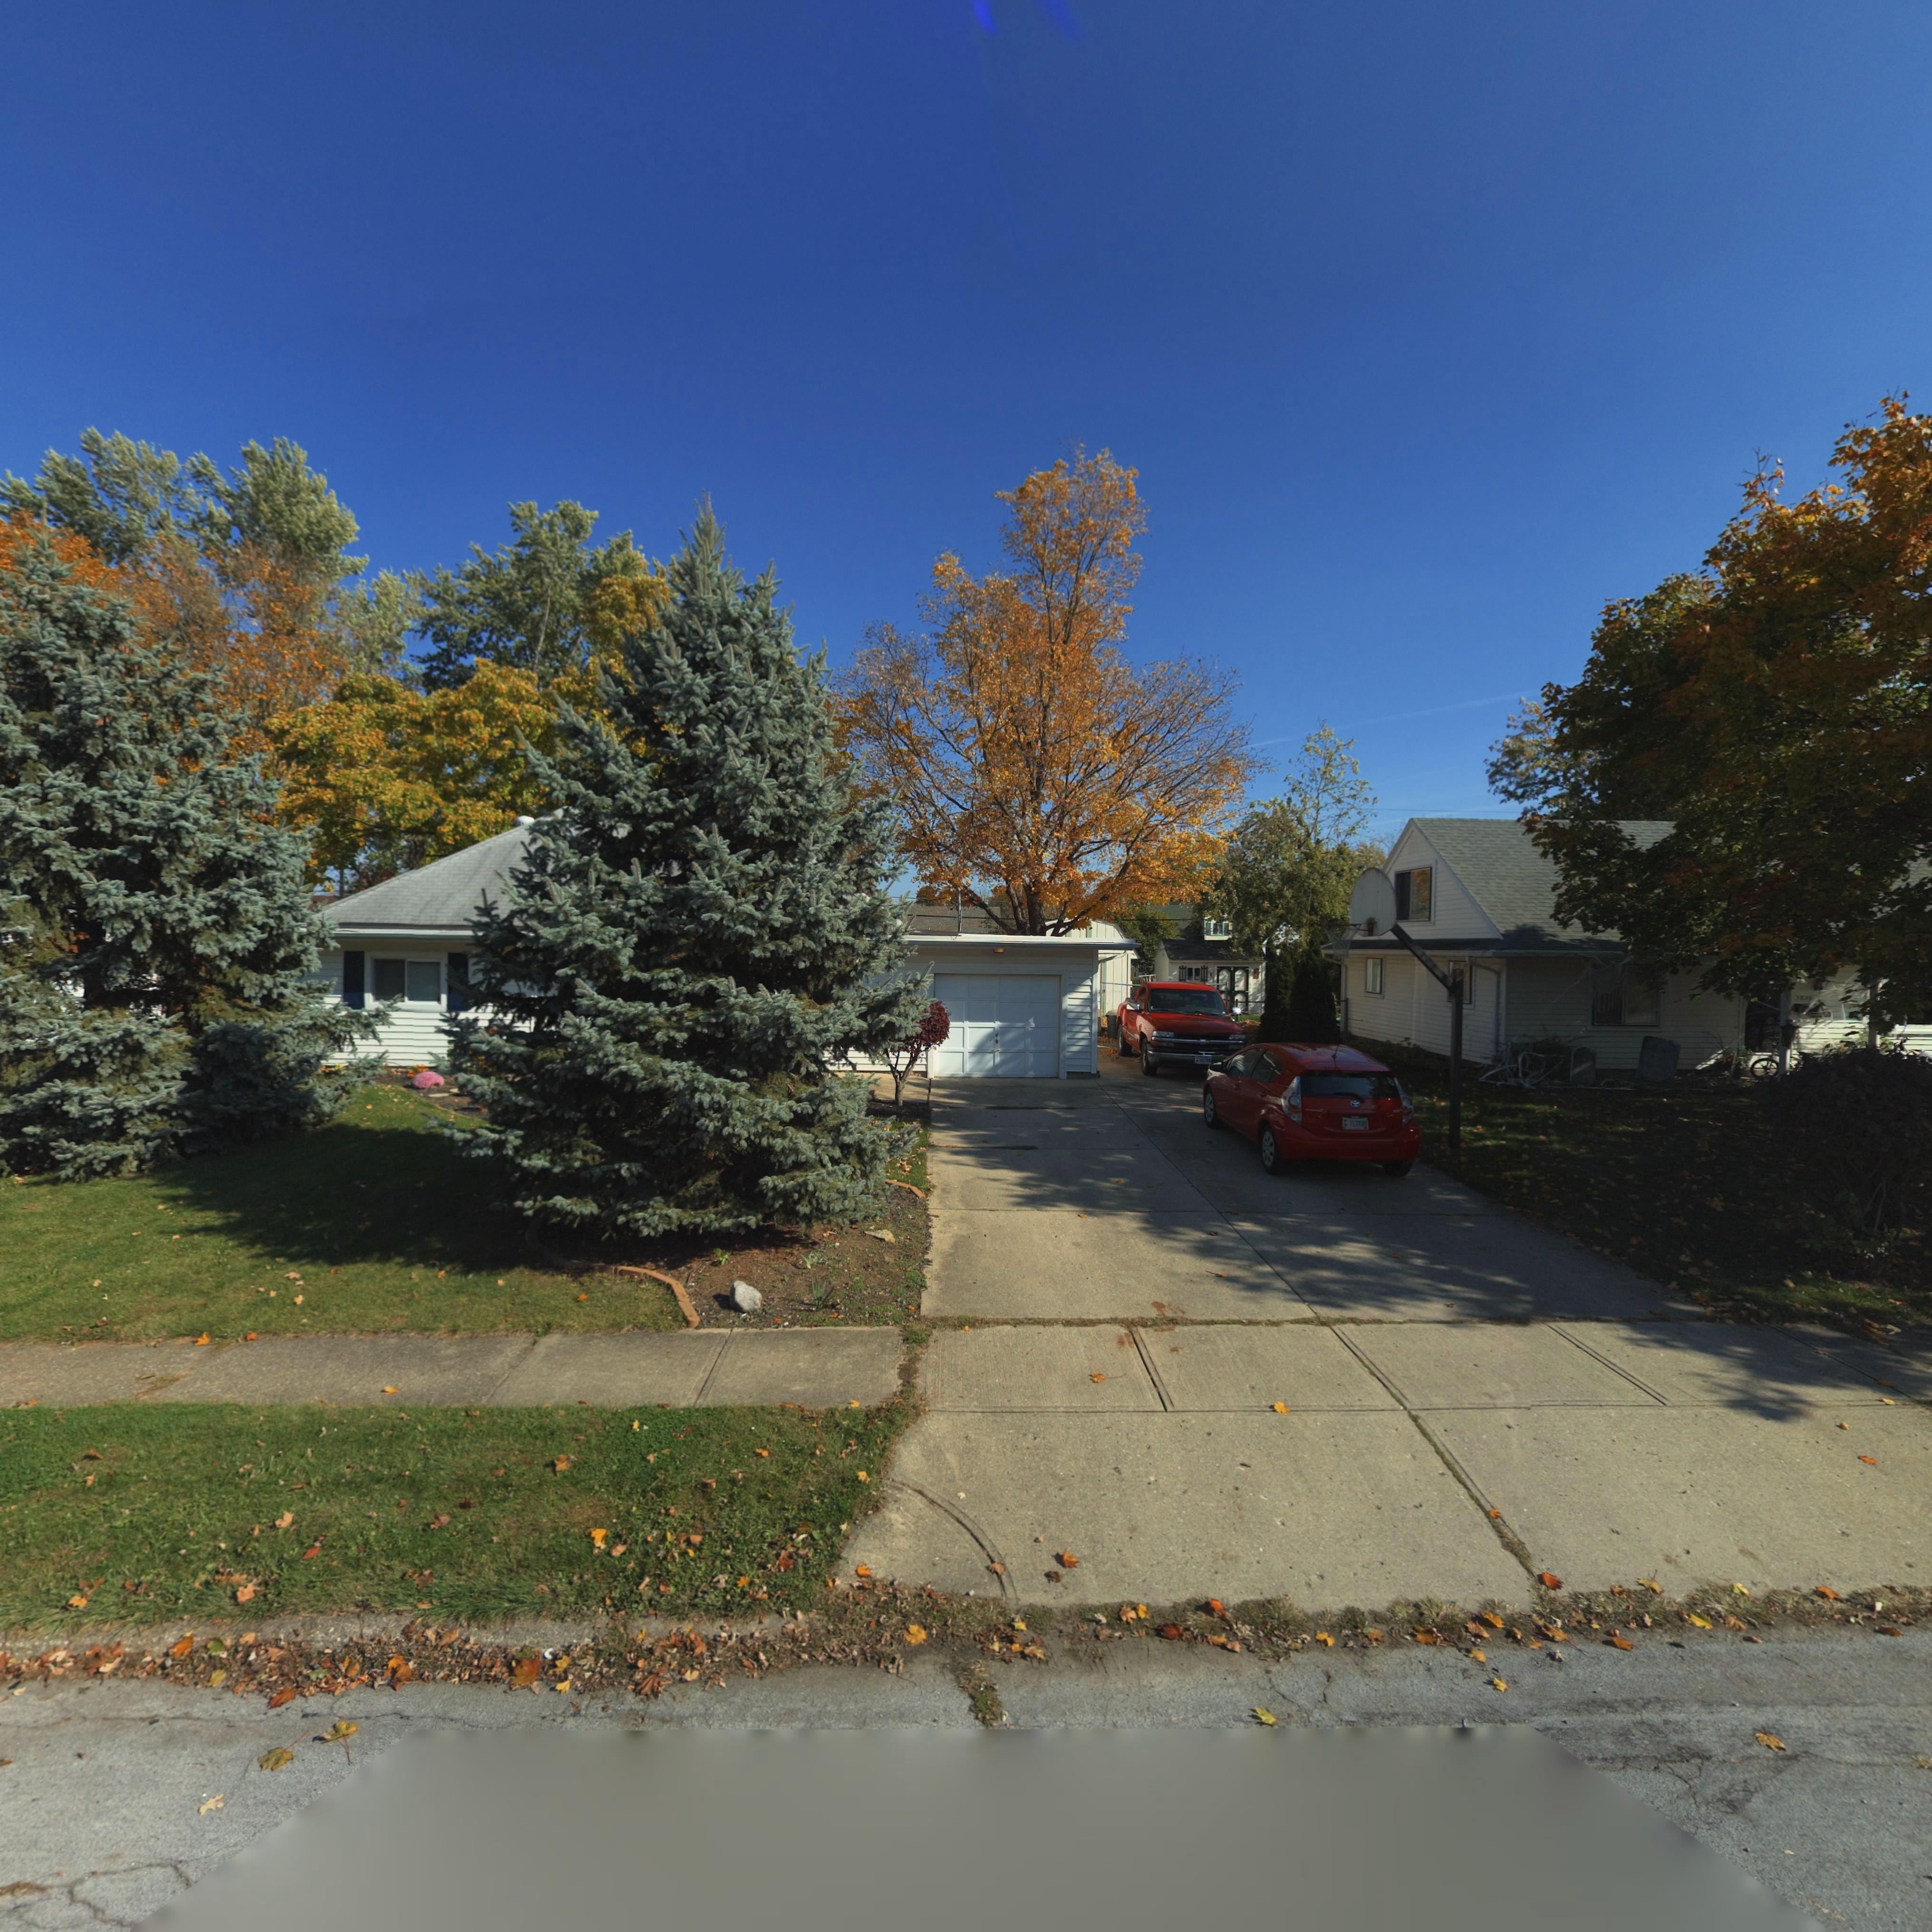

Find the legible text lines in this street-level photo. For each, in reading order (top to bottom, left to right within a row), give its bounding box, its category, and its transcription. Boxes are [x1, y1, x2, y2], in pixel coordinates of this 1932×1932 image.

[1349, 1120, 1359, 1127] None: 713